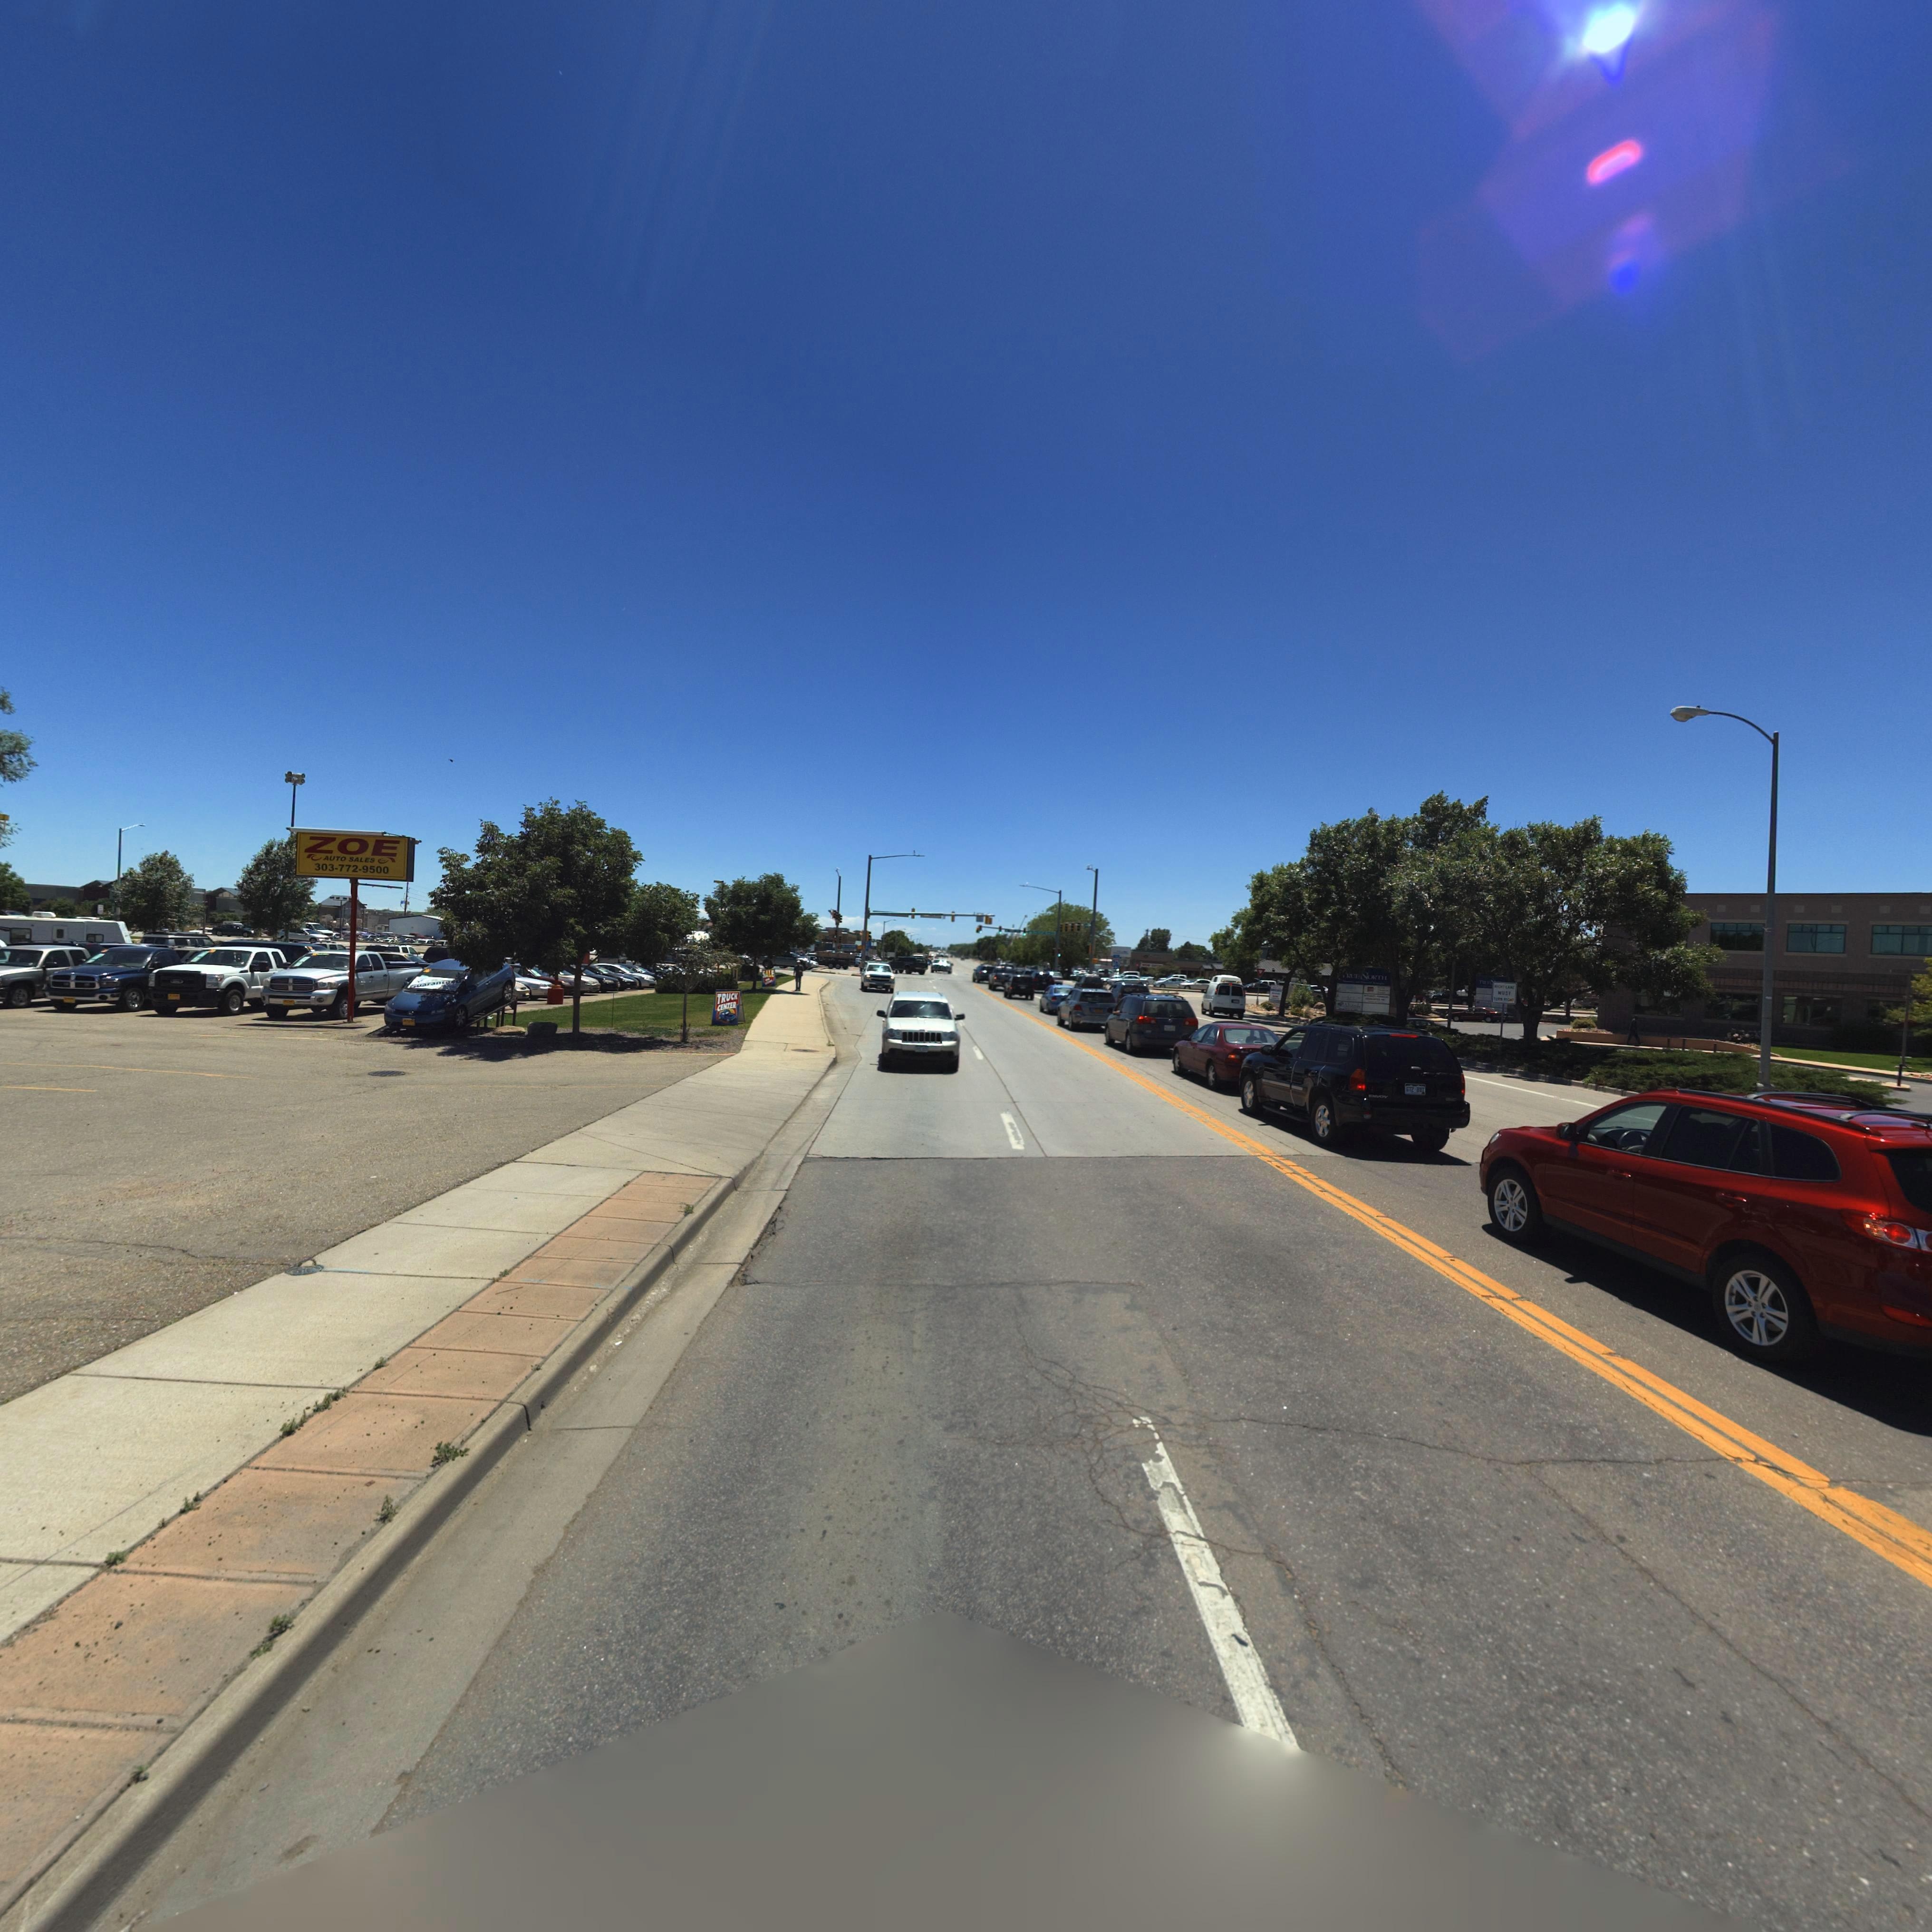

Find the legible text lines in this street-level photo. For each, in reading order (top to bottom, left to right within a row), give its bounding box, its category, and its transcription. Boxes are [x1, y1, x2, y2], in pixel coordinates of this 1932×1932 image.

[304, 836, 400, 857] BusinessName: ZOE
[322, 855, 375, 863] BusinessName: AUTO SALES